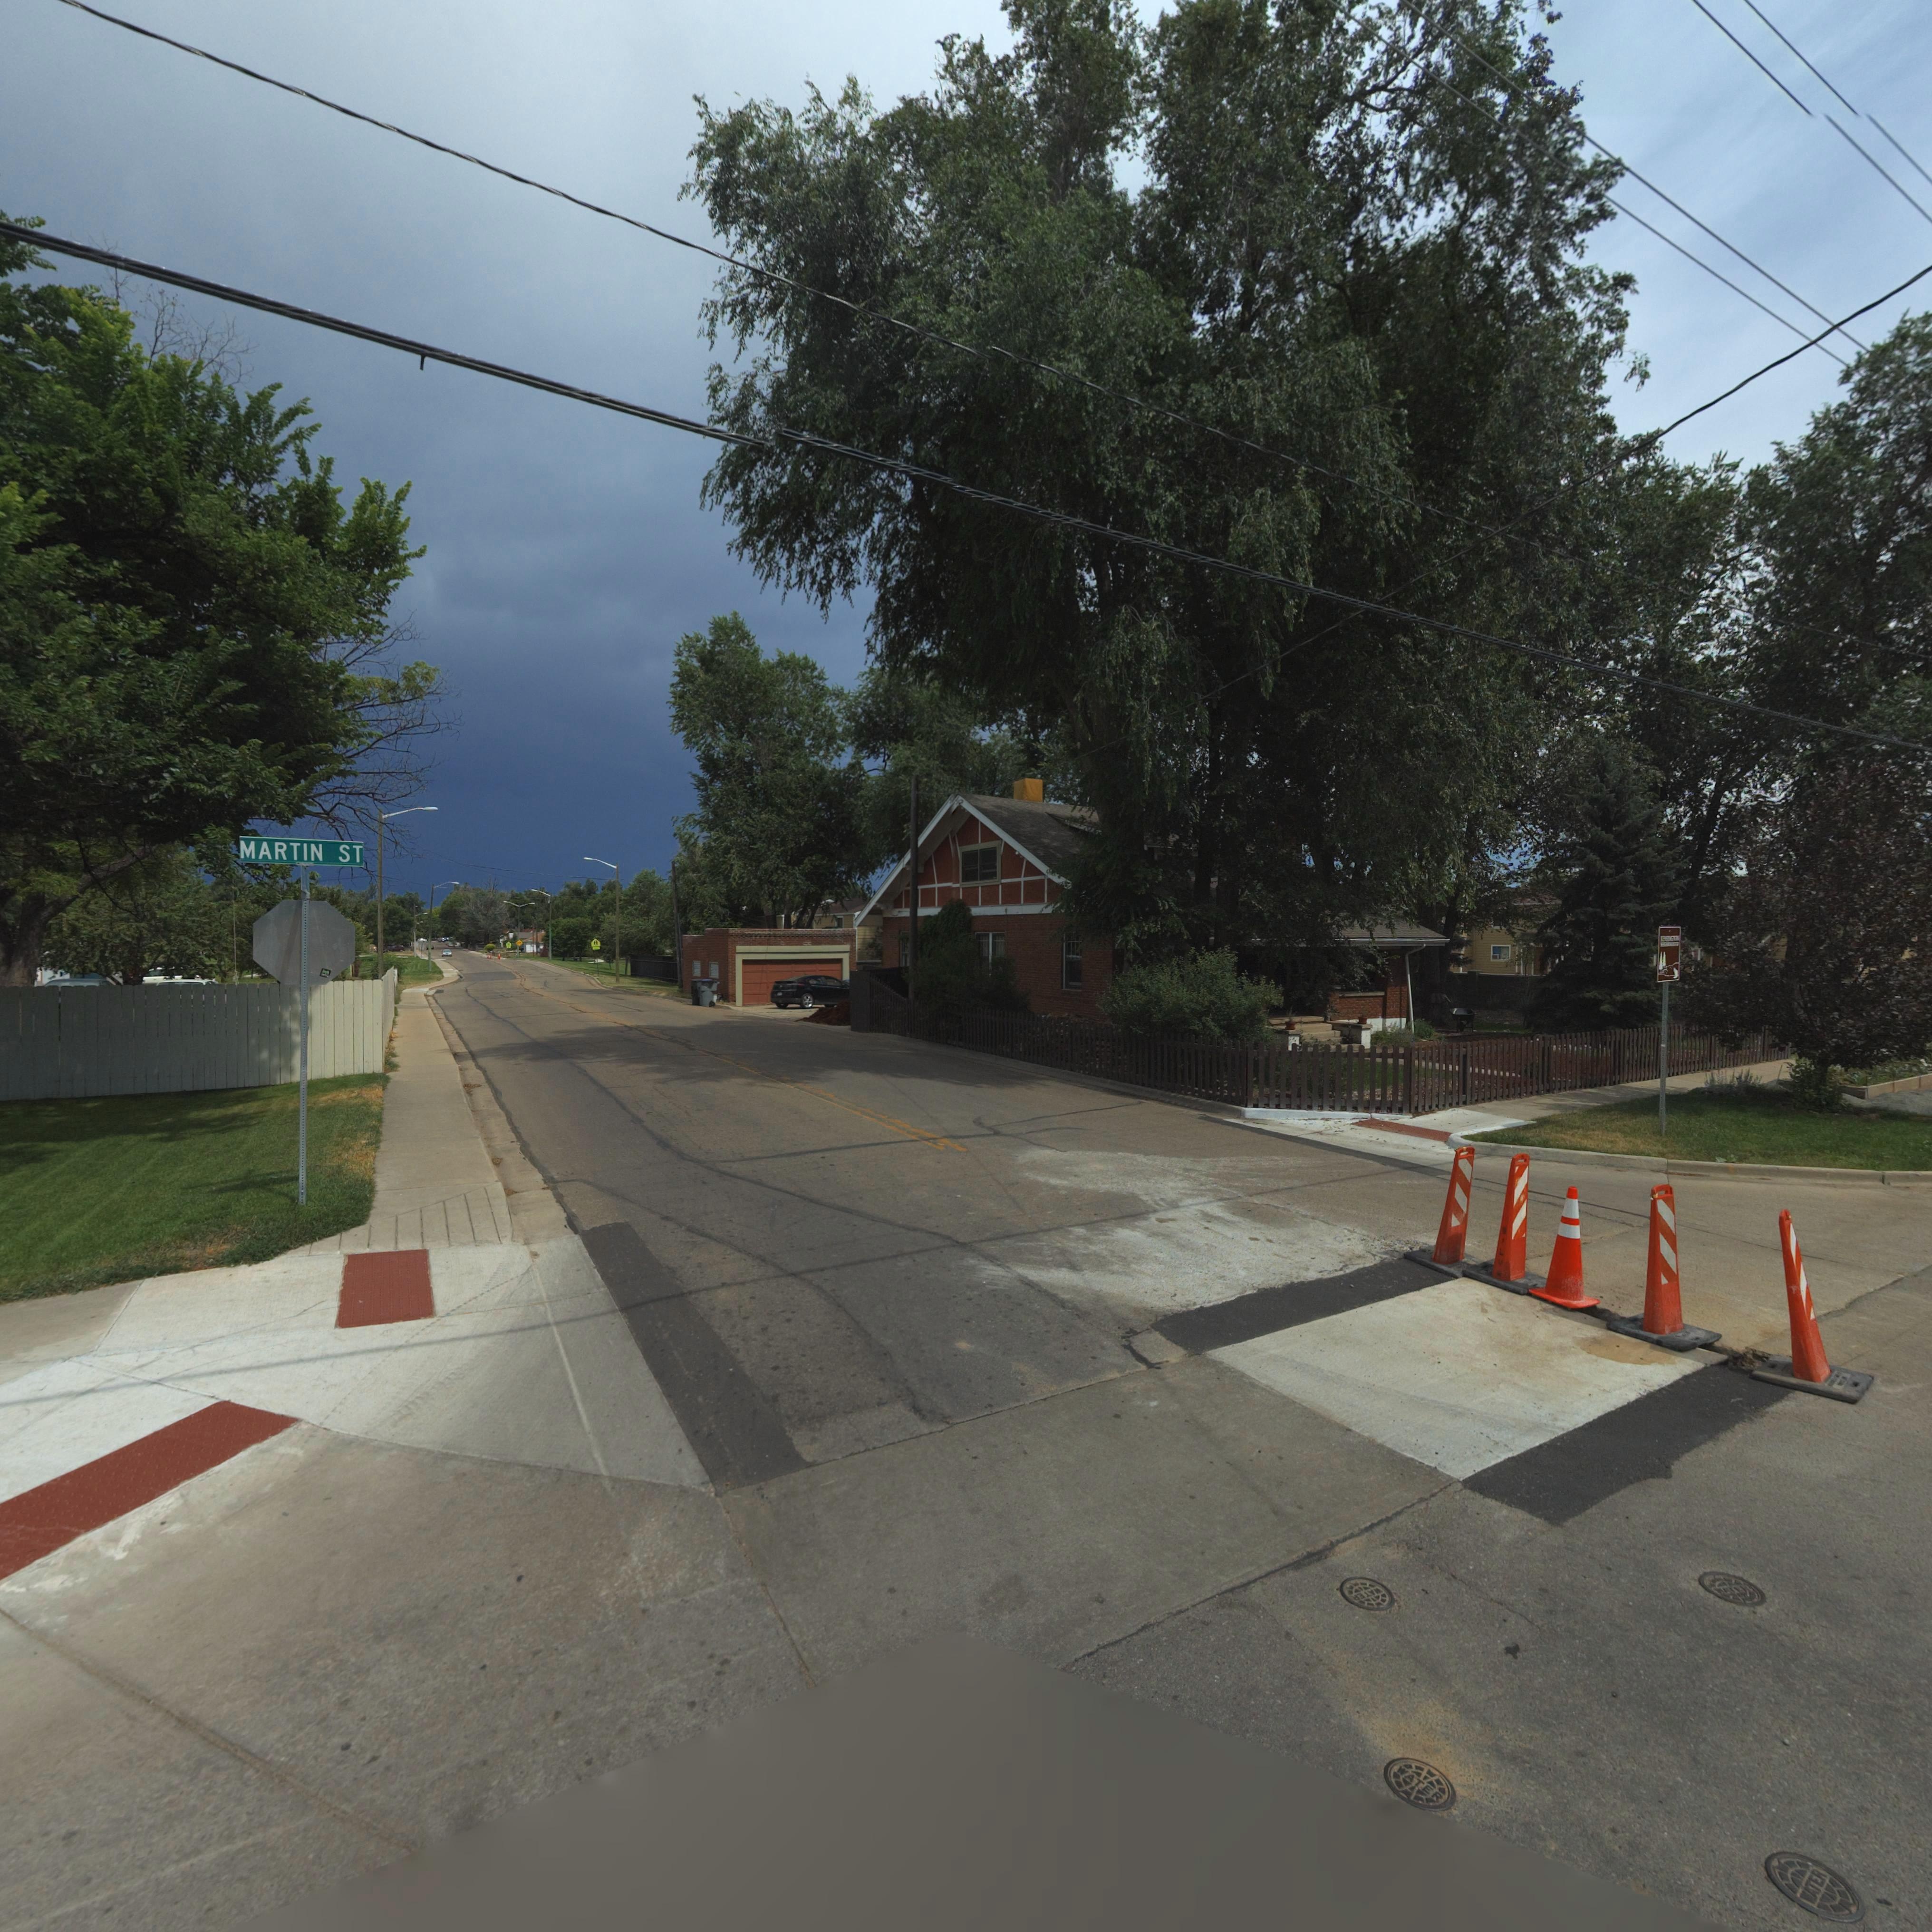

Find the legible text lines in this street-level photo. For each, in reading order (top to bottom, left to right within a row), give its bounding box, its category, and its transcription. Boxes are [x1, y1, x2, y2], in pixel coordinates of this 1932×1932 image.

[239, 840, 364, 863] StreetName: MARTIN ST